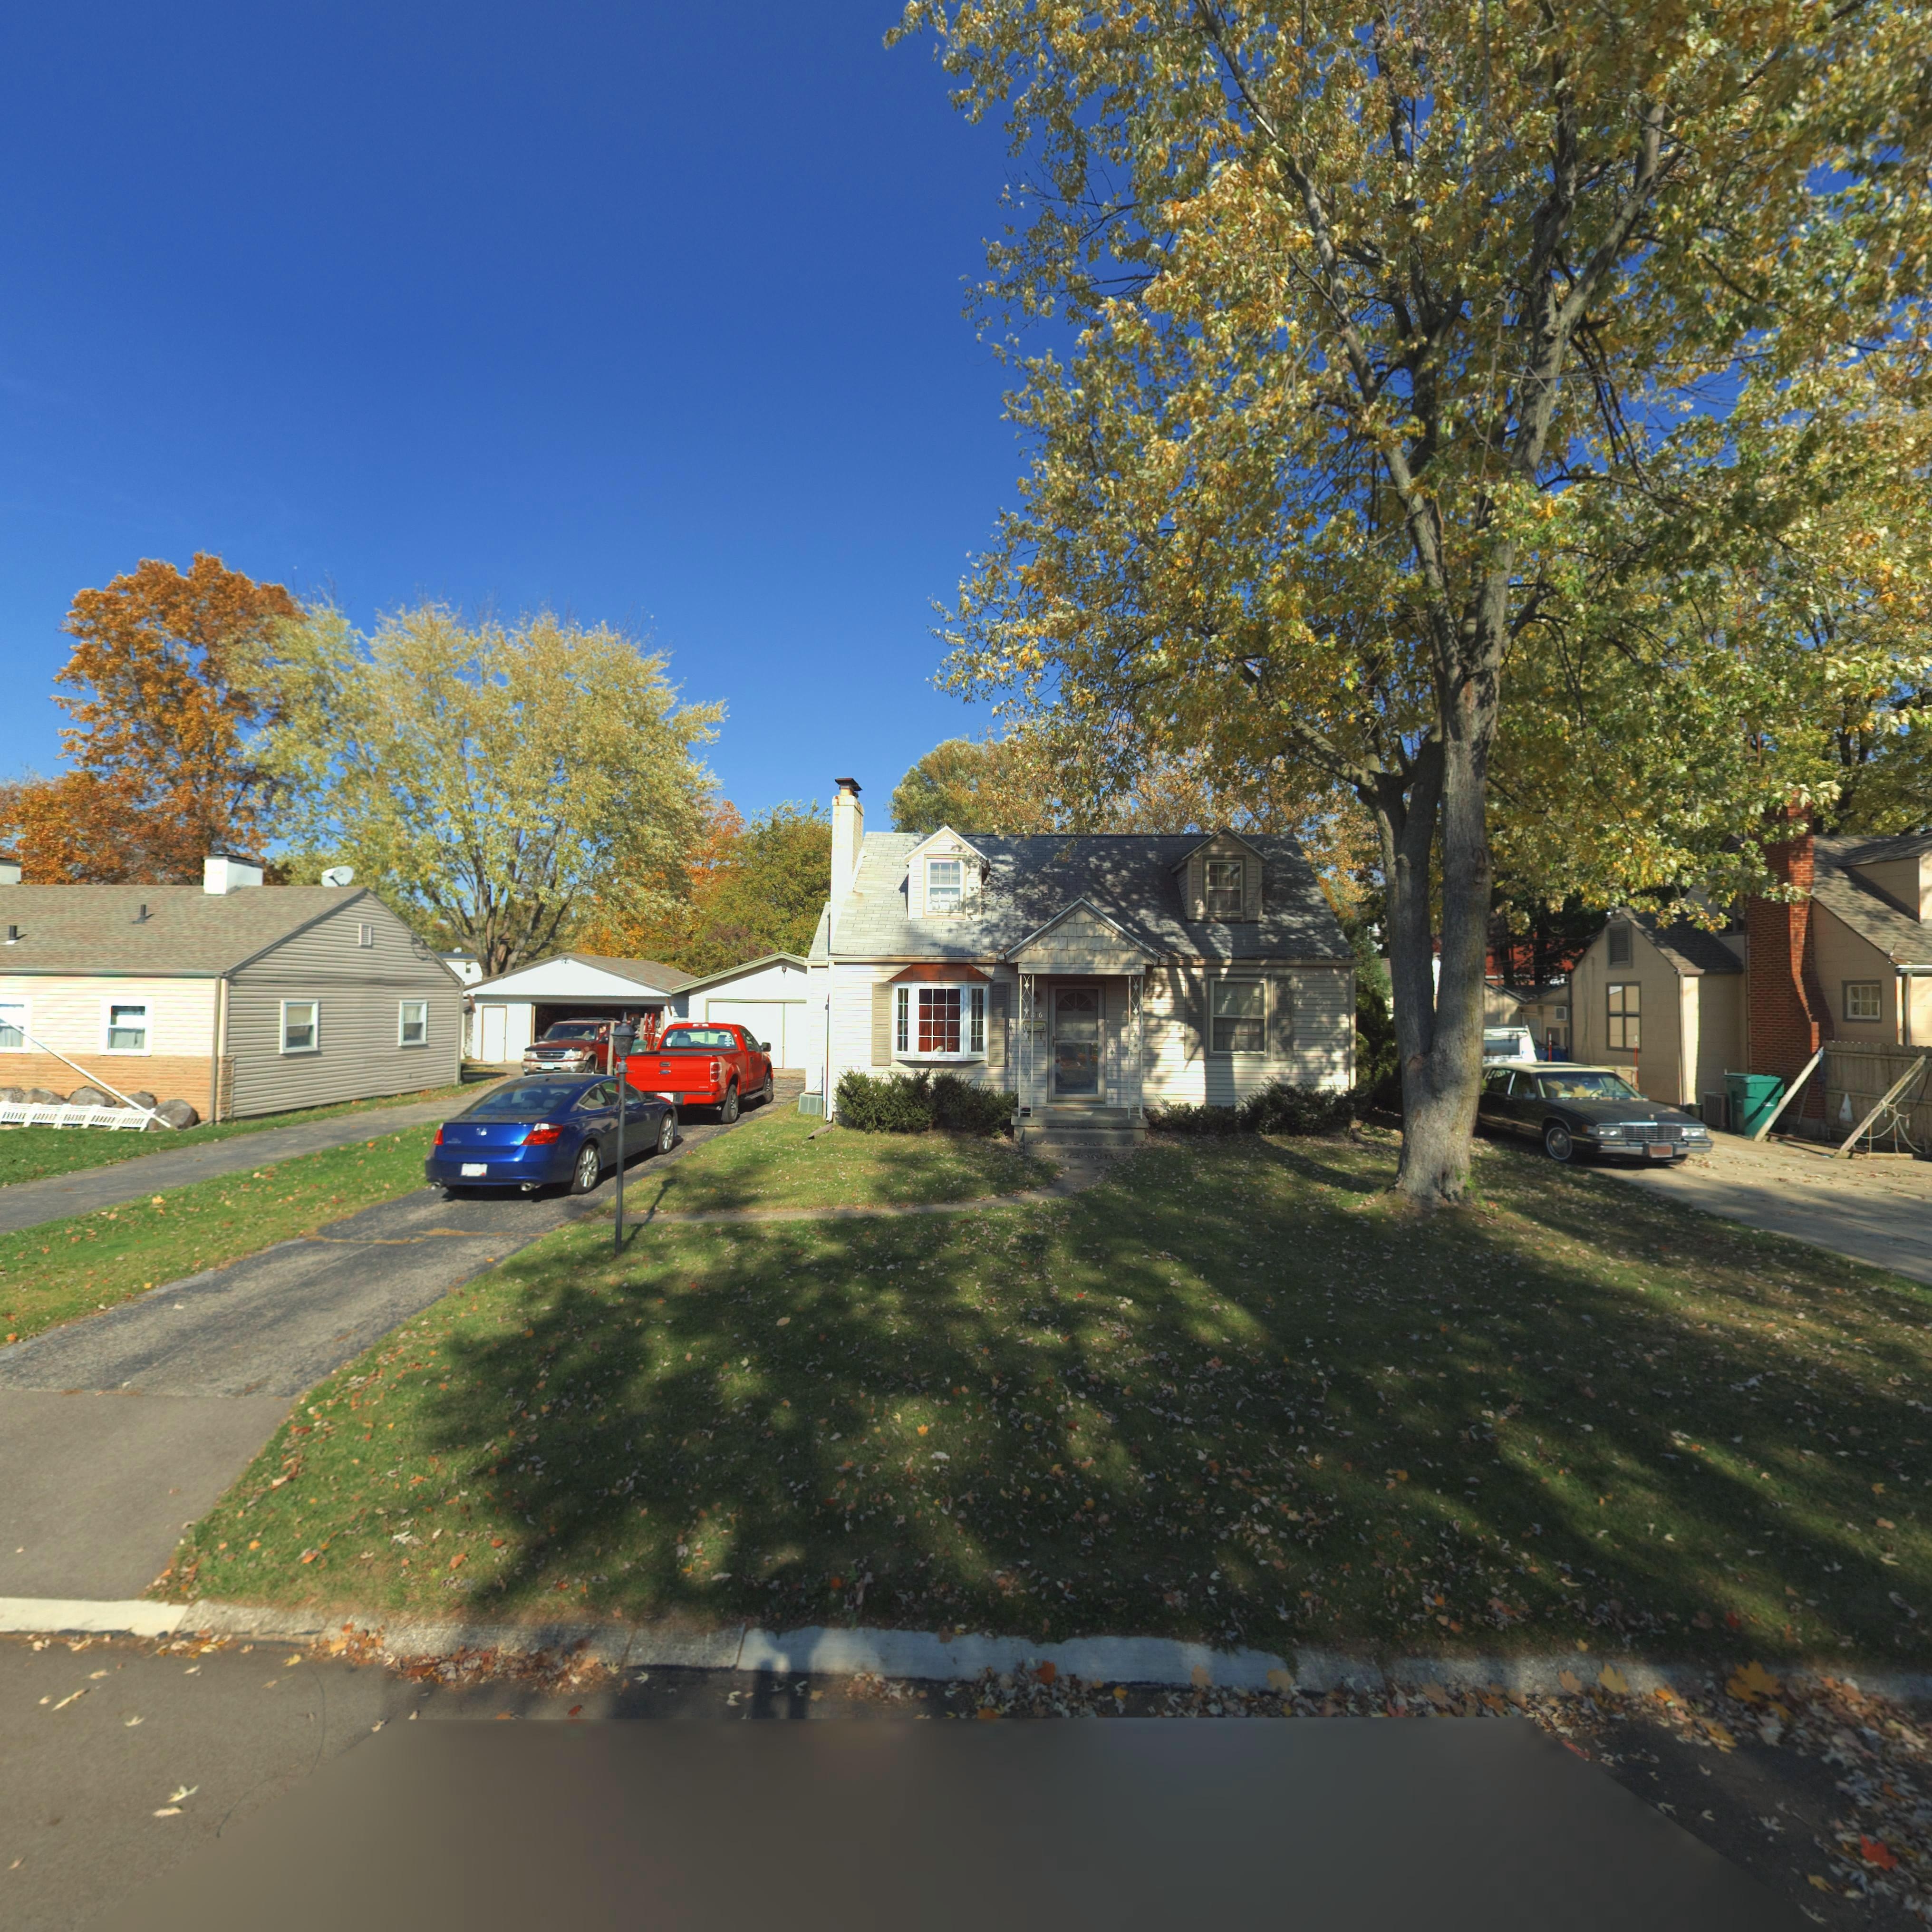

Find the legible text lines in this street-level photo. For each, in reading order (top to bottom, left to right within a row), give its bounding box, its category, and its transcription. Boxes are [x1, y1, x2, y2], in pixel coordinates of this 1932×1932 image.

[1035, 1011, 1043, 1019] StreetNumber: 16